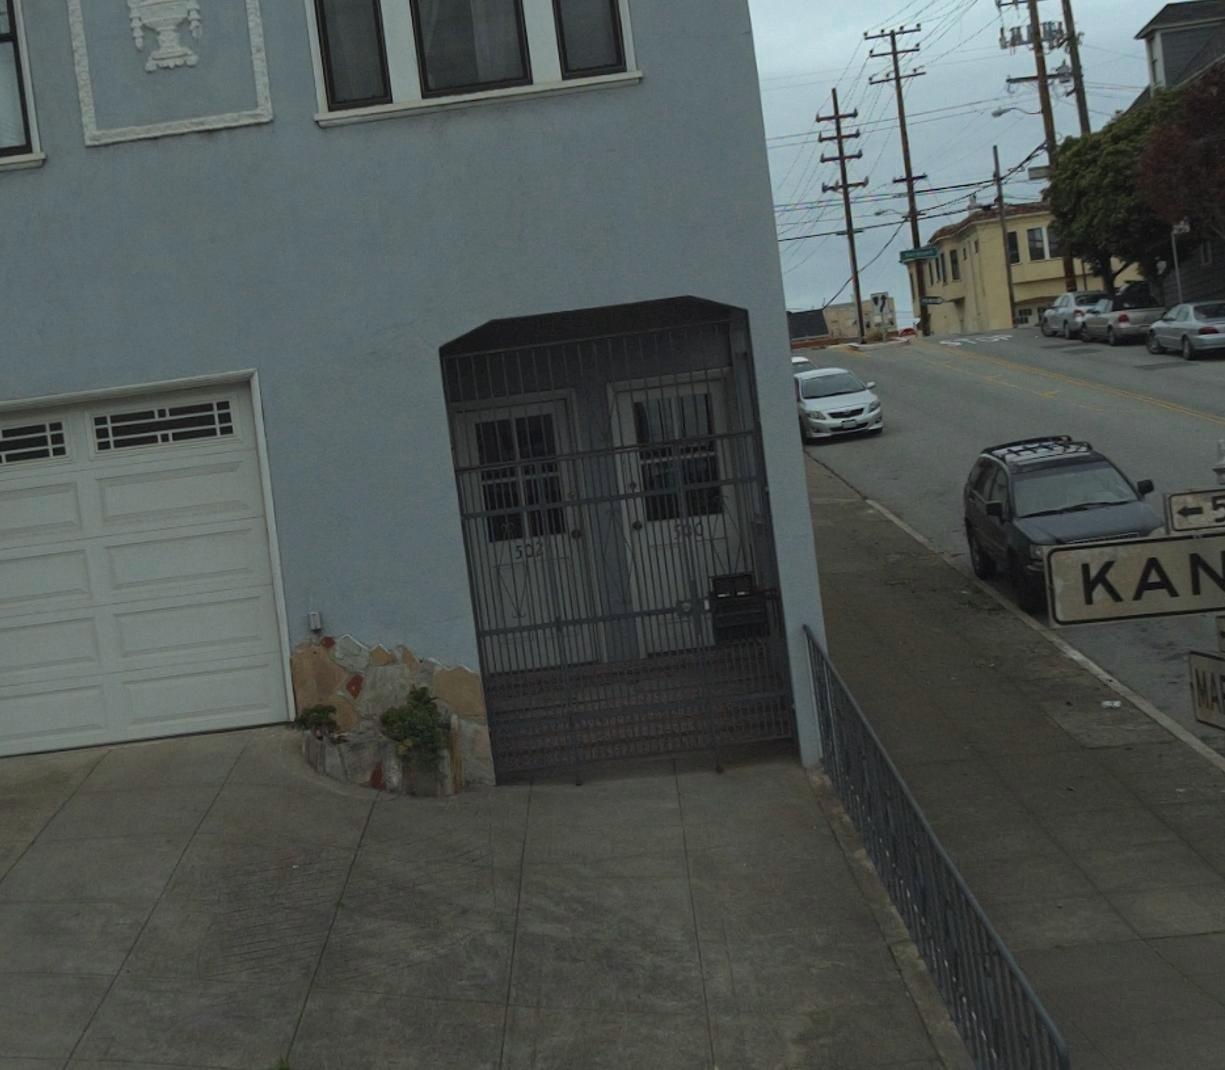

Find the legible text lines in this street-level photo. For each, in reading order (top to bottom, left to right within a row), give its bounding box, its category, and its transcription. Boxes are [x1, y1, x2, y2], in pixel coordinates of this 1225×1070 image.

[514, 540, 546, 561] StreetNumber: 50*
[672, 521, 705, 540] StreetNumber: 5*0
[1080, 554, 1183, 607] StreetName: KA
[1193, 667, 1223, 716] StreetName: MA